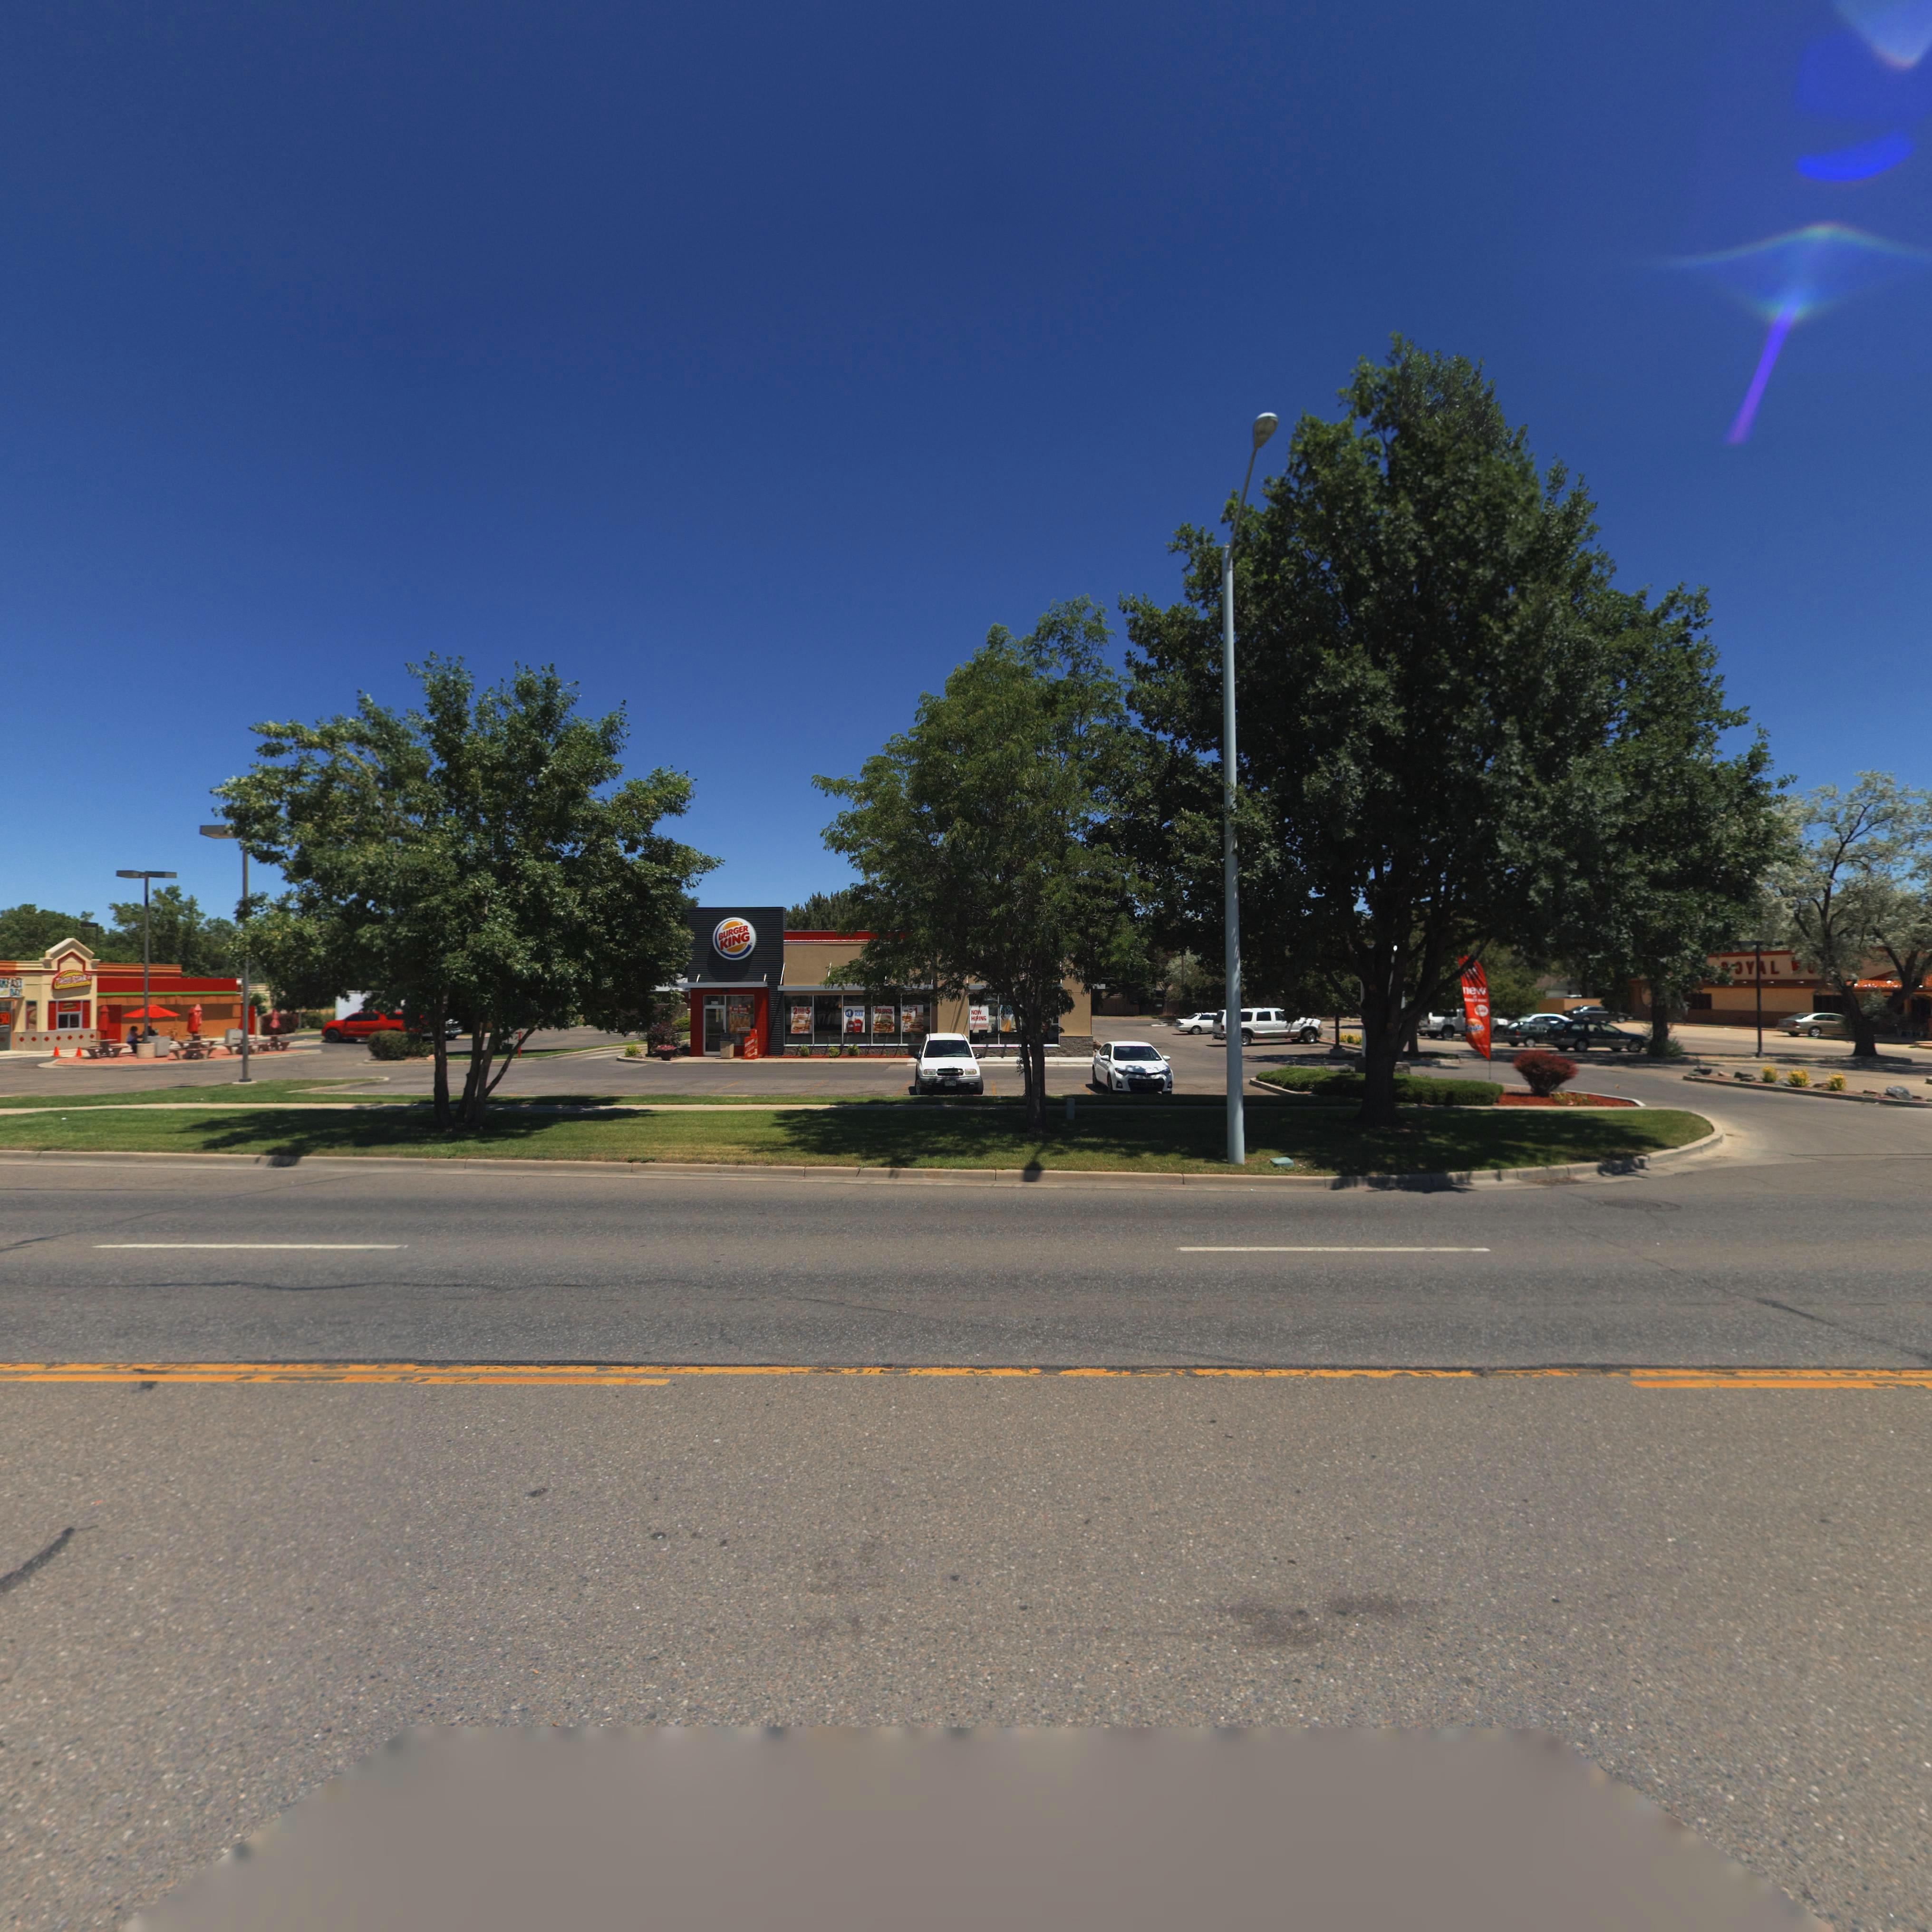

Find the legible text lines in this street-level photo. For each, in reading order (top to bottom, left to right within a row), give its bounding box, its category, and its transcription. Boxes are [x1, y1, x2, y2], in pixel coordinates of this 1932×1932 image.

[718, 925, 748, 941] BusinessName: BURGER
[720, 932, 750, 951] BusinessName: KING
[1719, 958, 1817, 976] BusinessName: *OYAL **
[55, 974, 87, 986] BusinessName: T*c*s S****
[711, 1000, 718, 1005] StreetNumber: 2**4